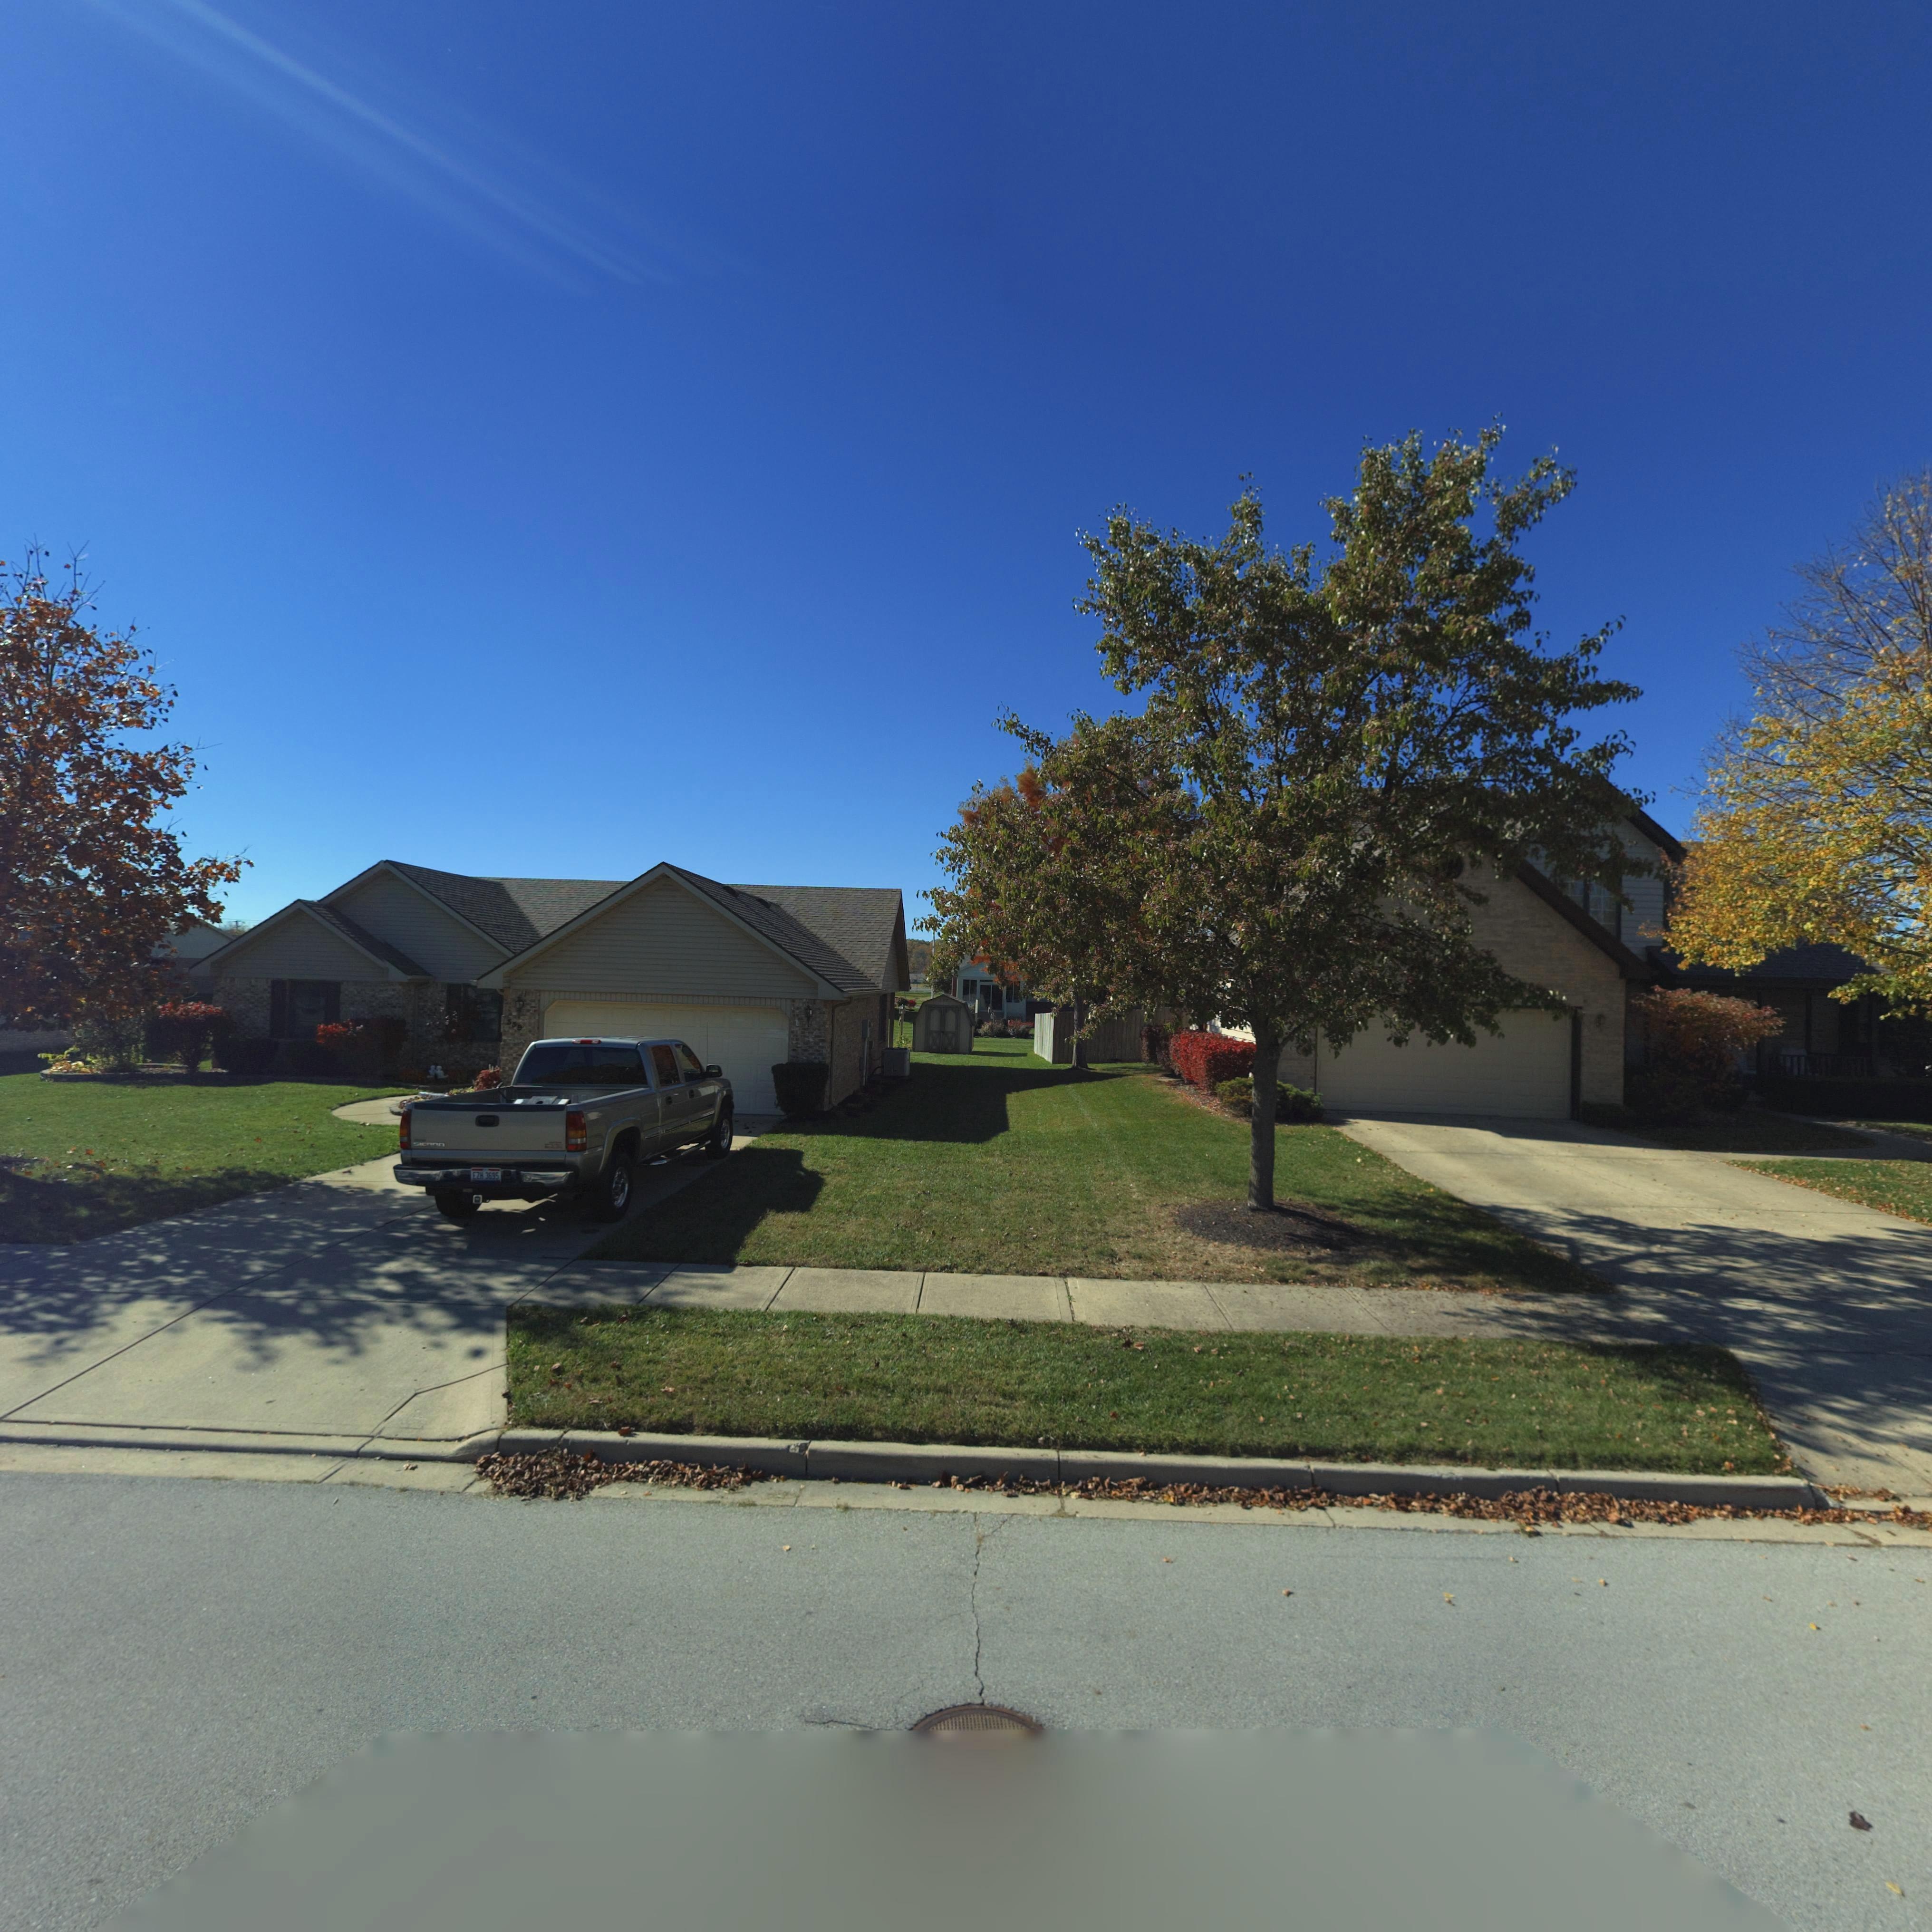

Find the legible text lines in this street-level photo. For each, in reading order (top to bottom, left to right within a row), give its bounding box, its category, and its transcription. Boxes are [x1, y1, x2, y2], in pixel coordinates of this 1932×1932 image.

[506, 1018, 524, 1032] StreetNumber: 359